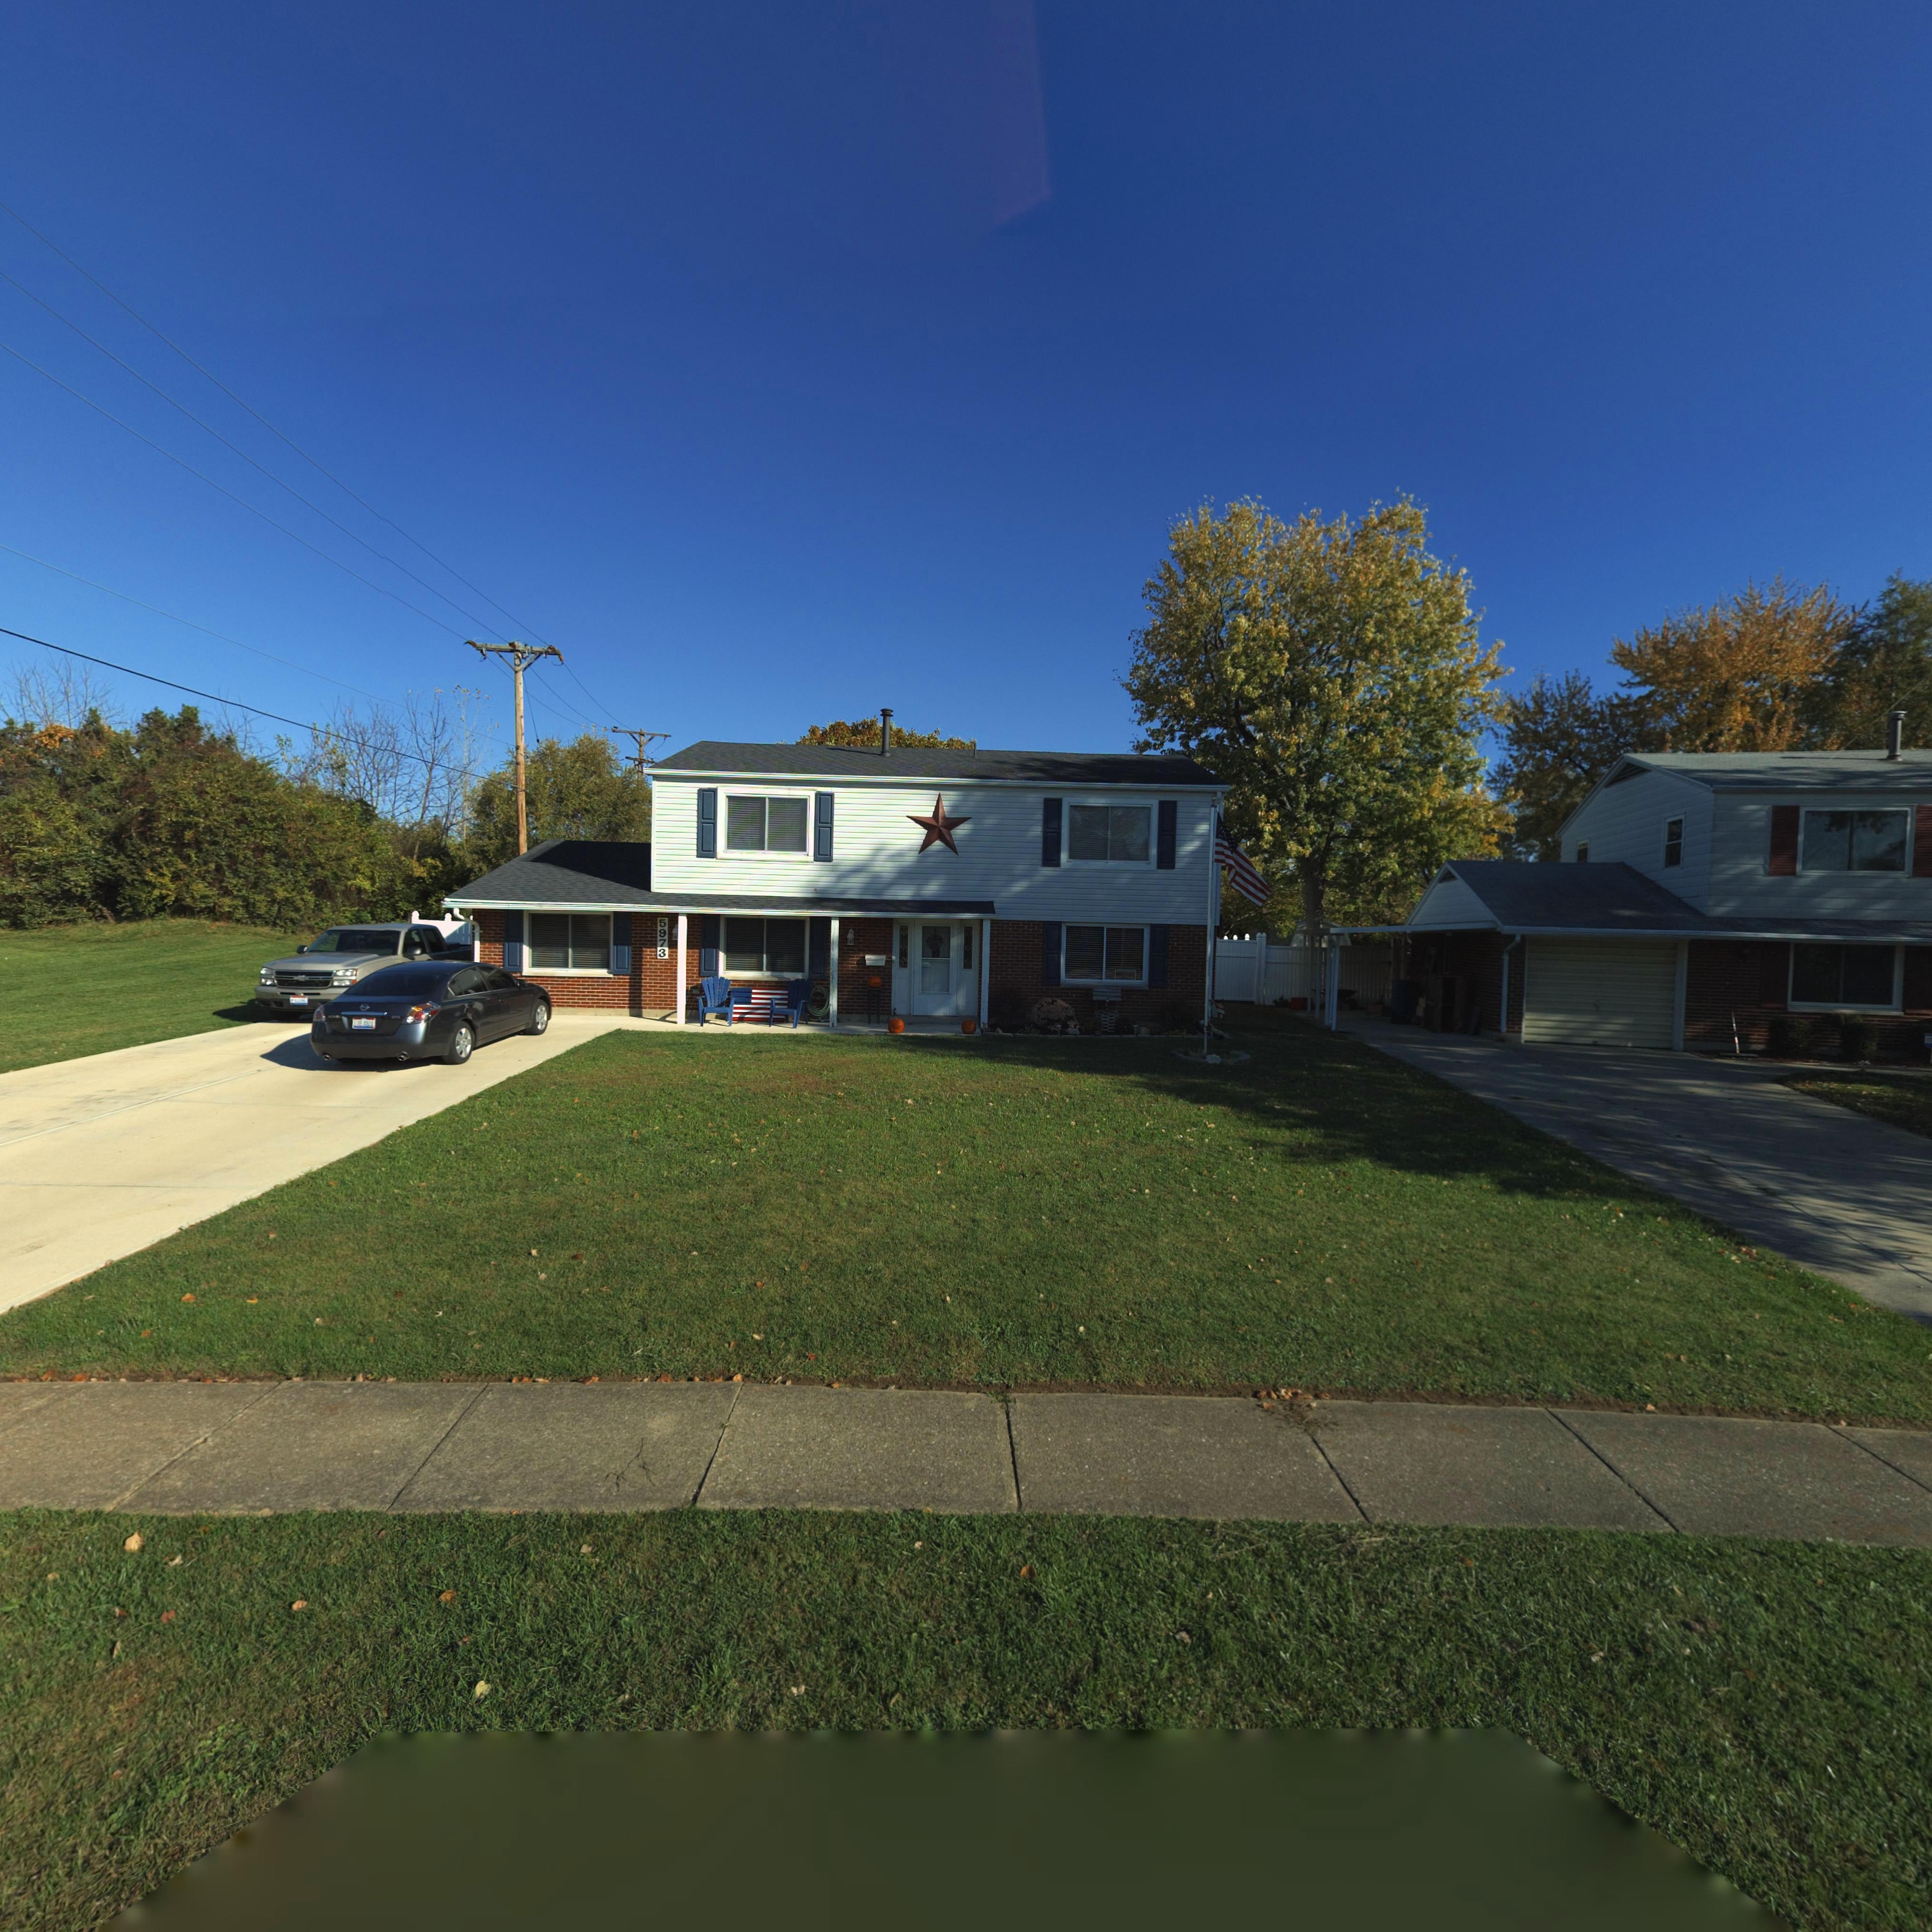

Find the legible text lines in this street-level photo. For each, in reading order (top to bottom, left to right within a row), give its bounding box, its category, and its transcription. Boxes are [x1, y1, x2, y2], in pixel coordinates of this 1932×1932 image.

[657, 918, 668, 959] StreetNumber: 5973